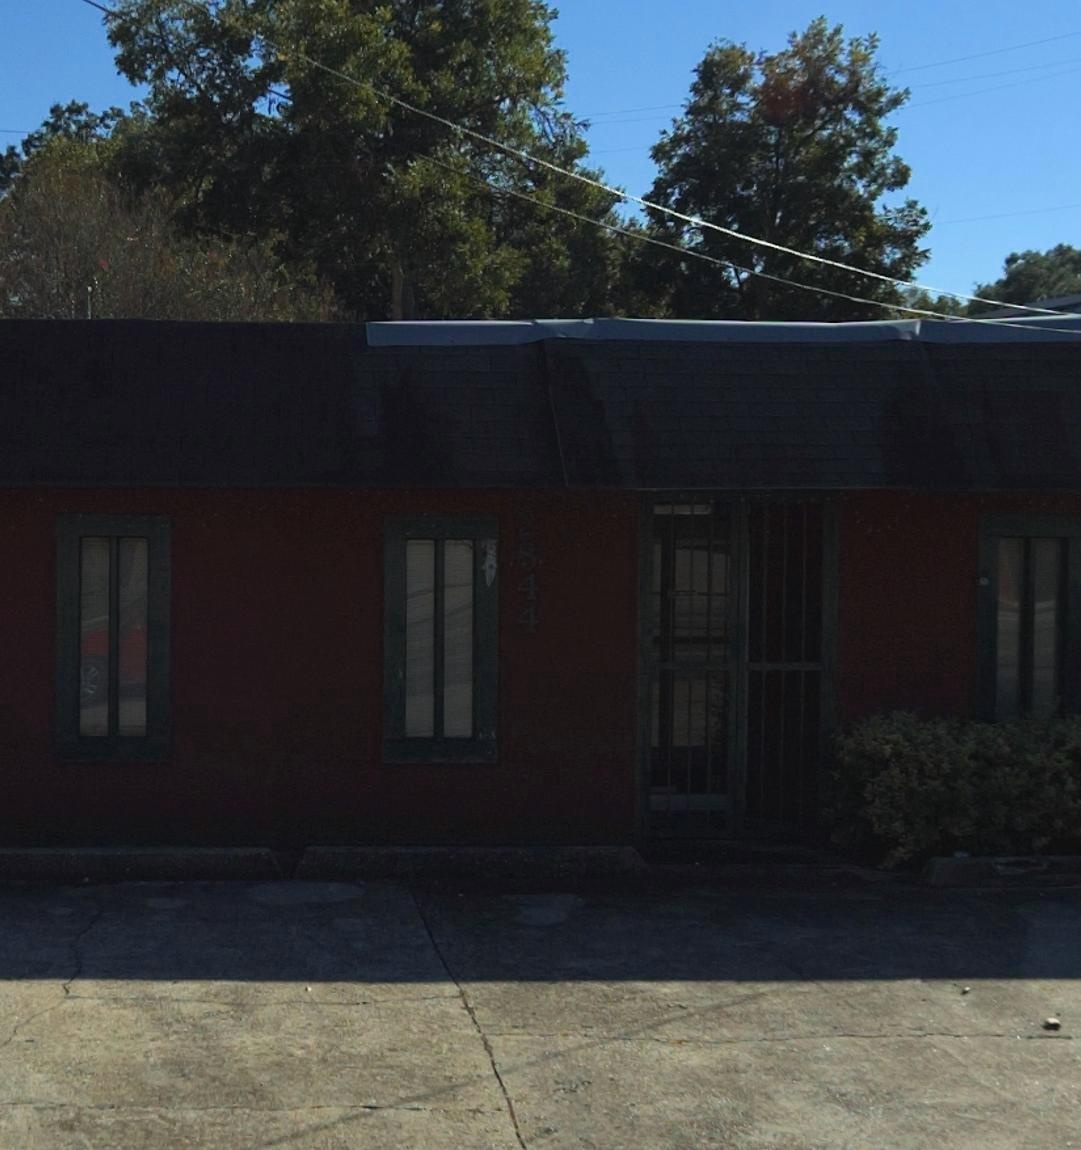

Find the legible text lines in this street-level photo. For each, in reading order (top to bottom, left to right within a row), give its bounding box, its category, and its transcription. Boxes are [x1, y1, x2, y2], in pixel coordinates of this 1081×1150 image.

[514, 505, 543, 638] StreetNumber: 2844